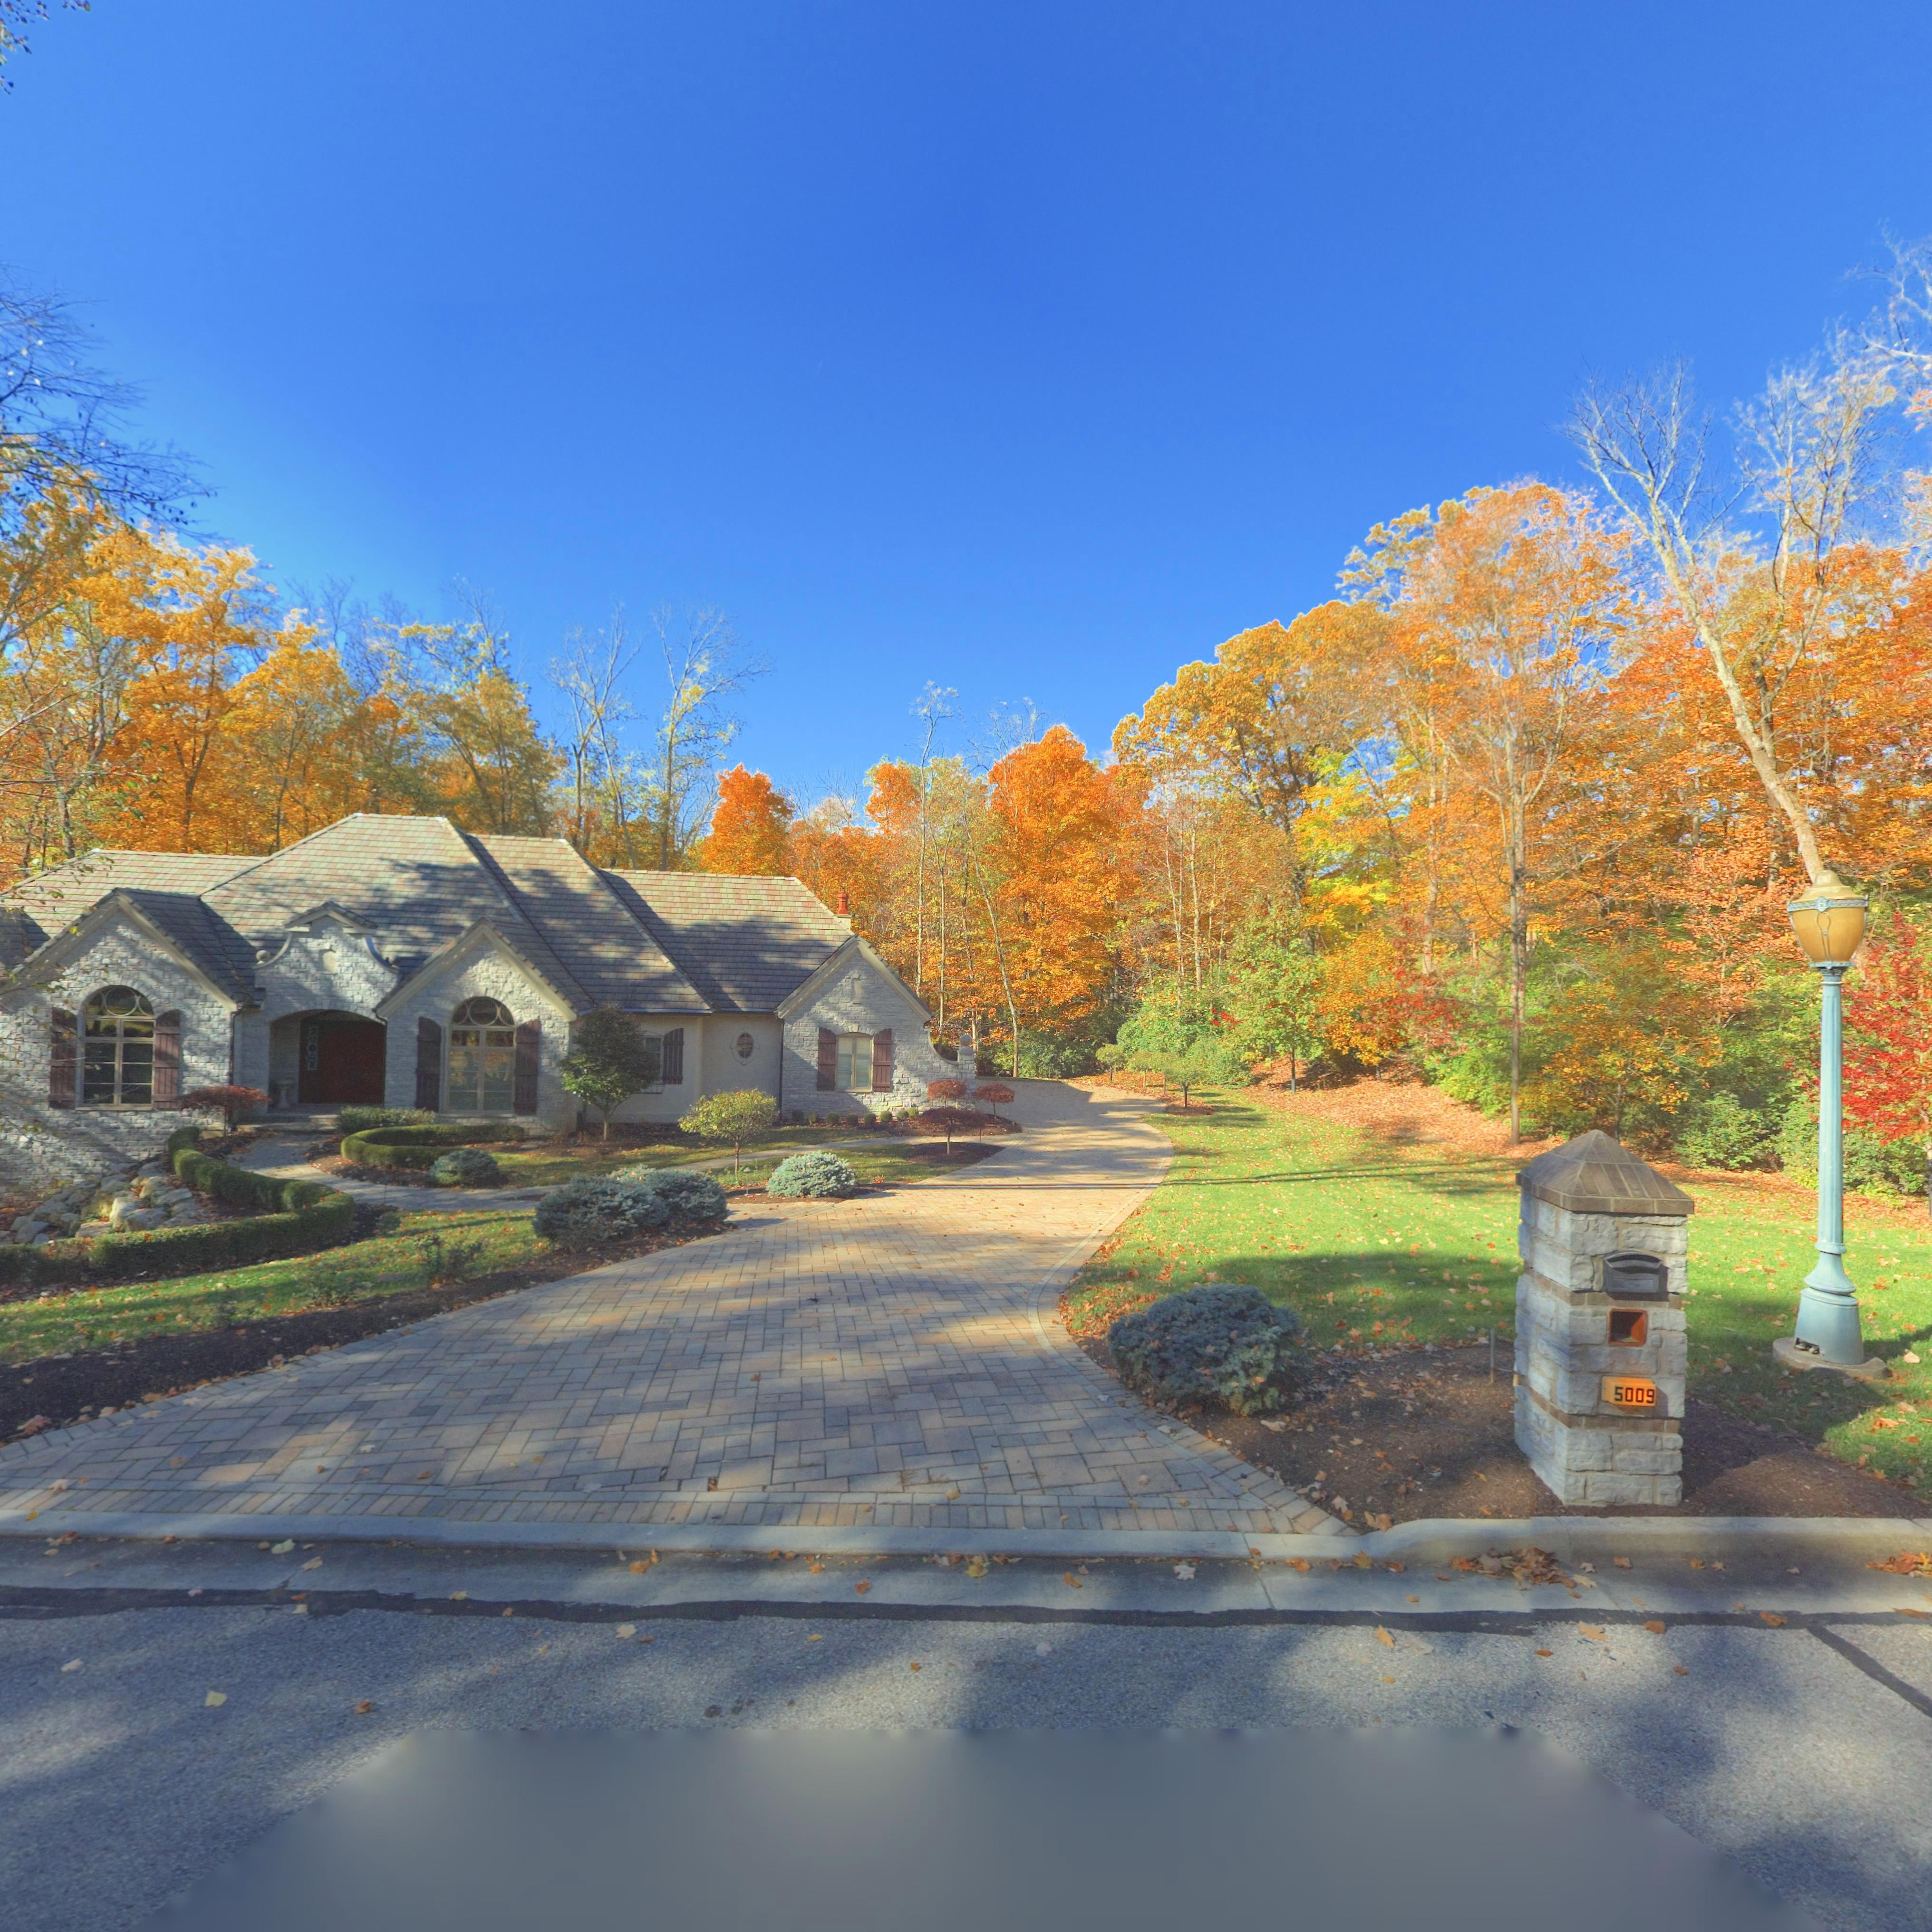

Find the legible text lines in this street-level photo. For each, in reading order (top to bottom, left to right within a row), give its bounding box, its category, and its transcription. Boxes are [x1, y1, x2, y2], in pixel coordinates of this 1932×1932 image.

[1613, 1385, 1656, 1405] StreetNumber: 5009